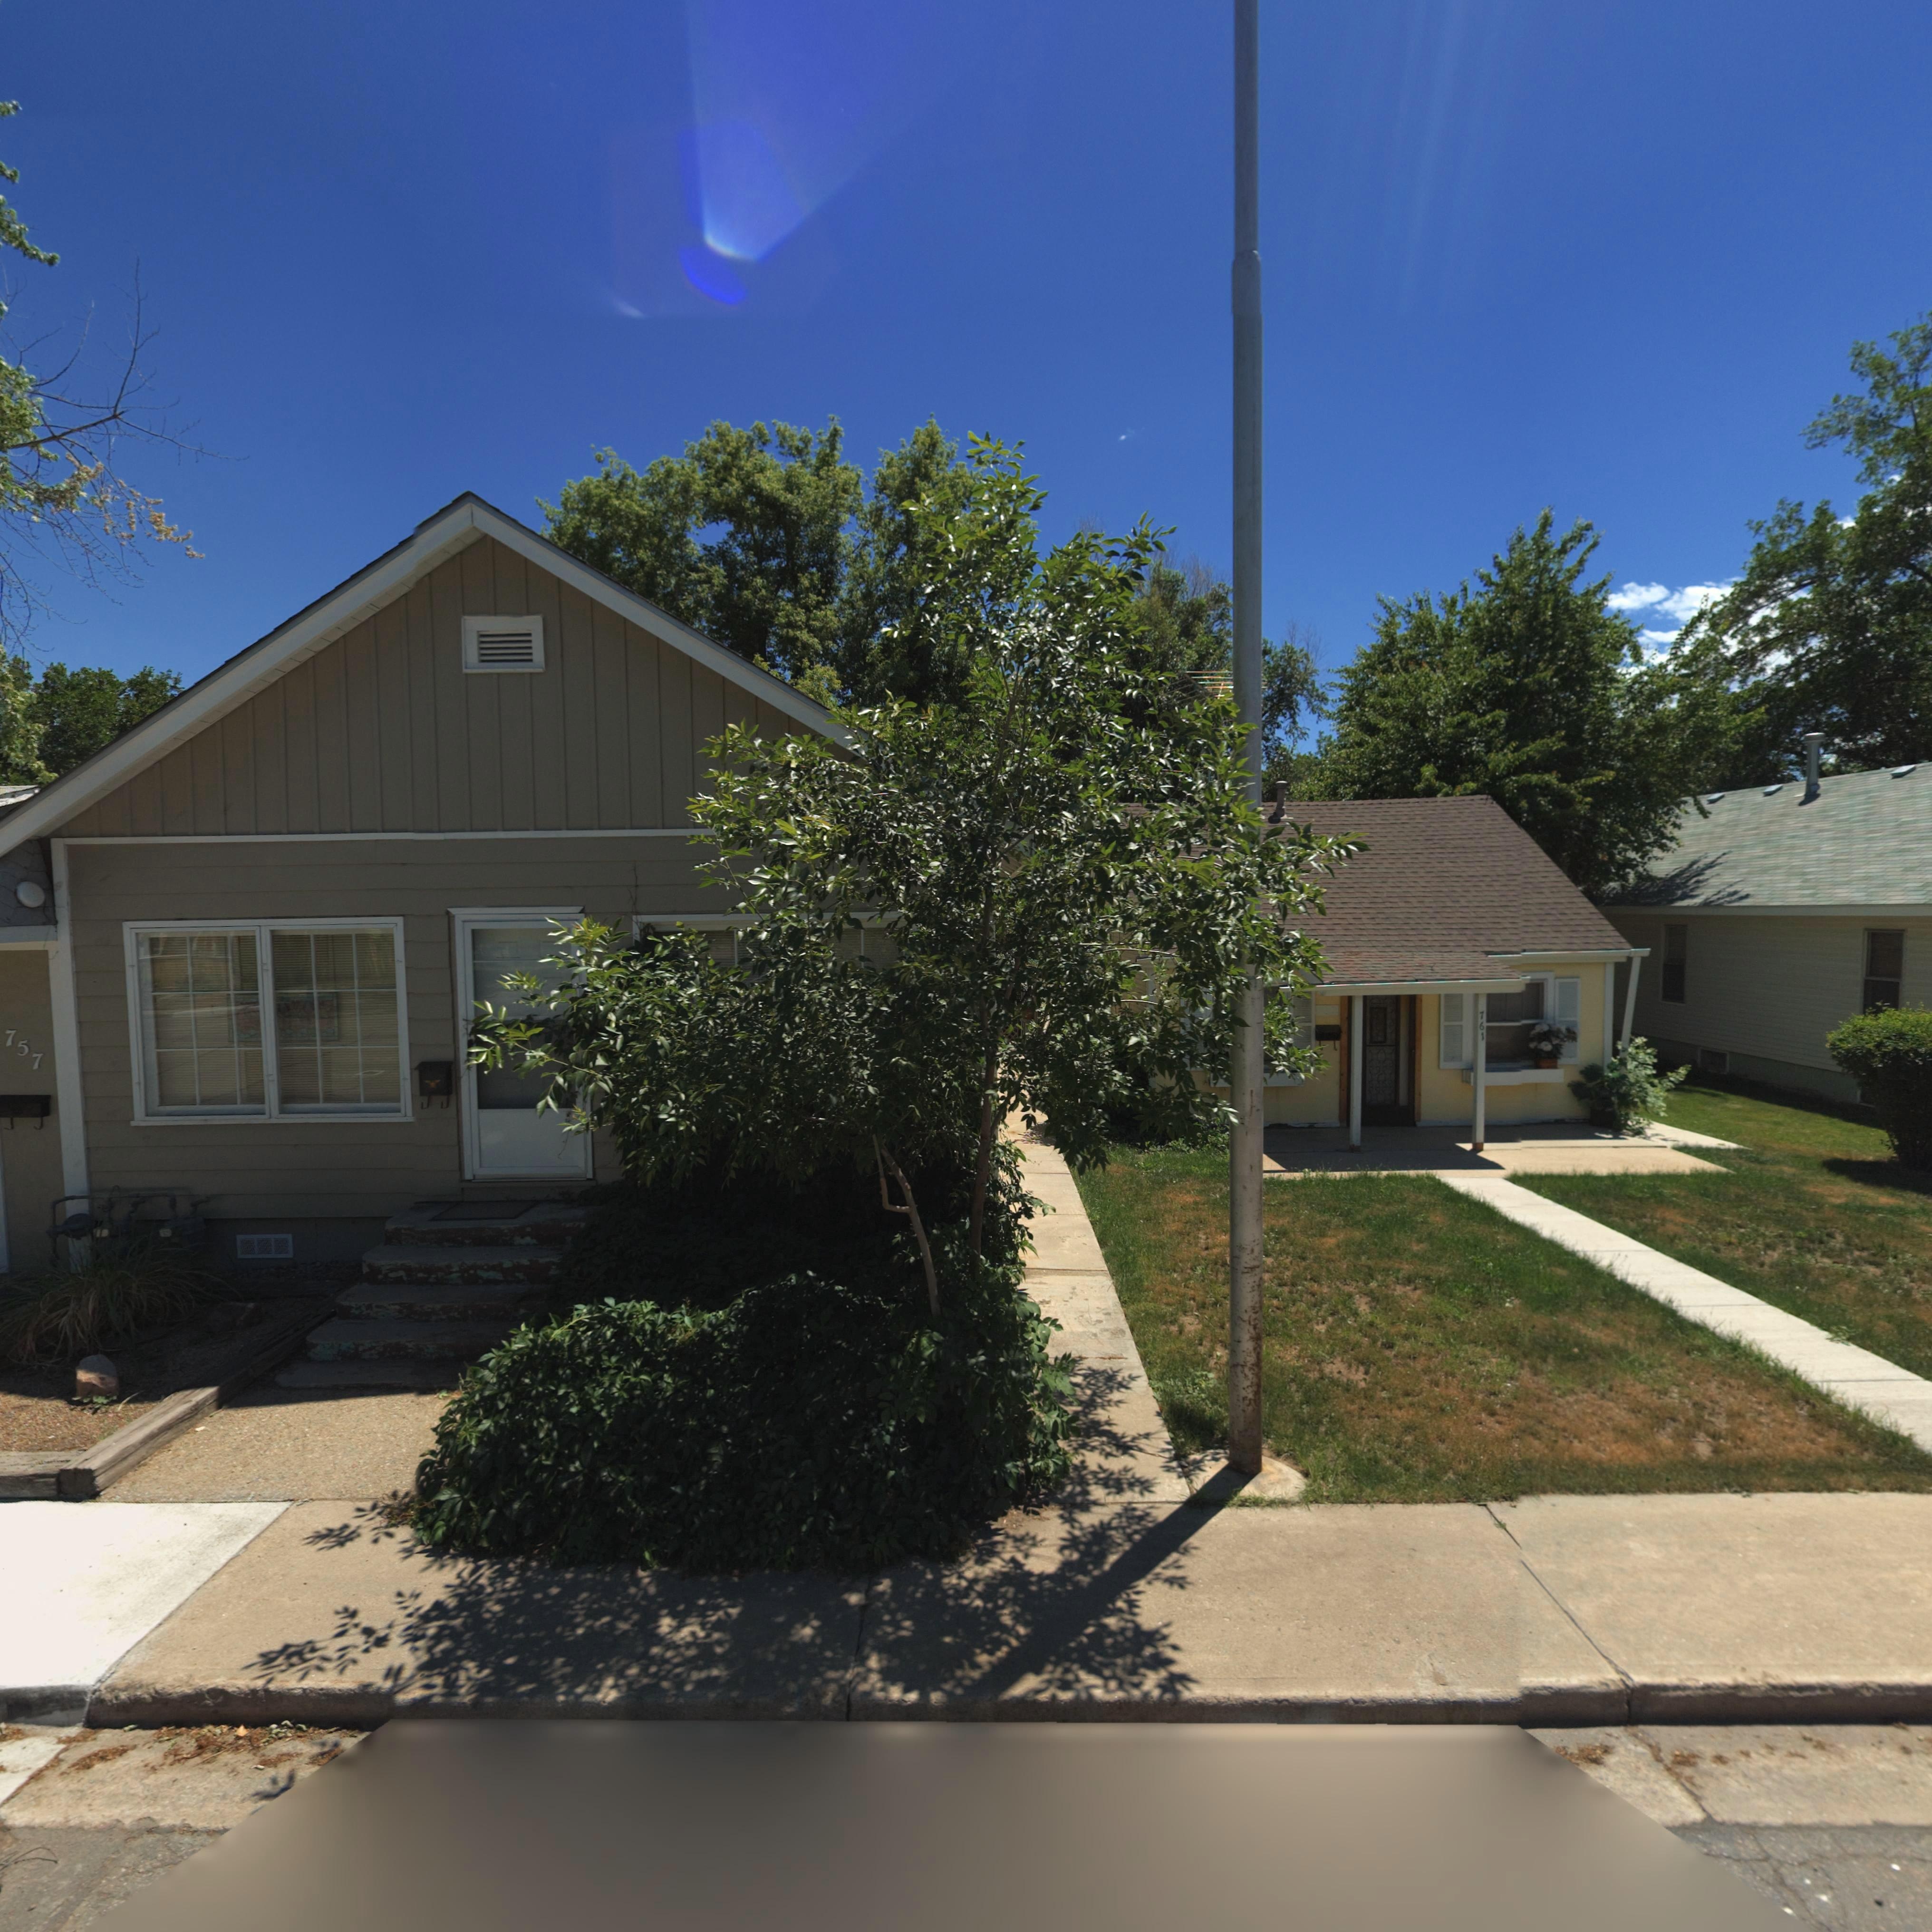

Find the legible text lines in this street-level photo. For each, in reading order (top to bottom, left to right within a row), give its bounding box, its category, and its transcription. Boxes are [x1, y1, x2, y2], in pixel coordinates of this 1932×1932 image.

[1478, 1010, 1485, 1042] StreetNumber: 761
[3, 1028, 44, 1071] StreetNumber: 757